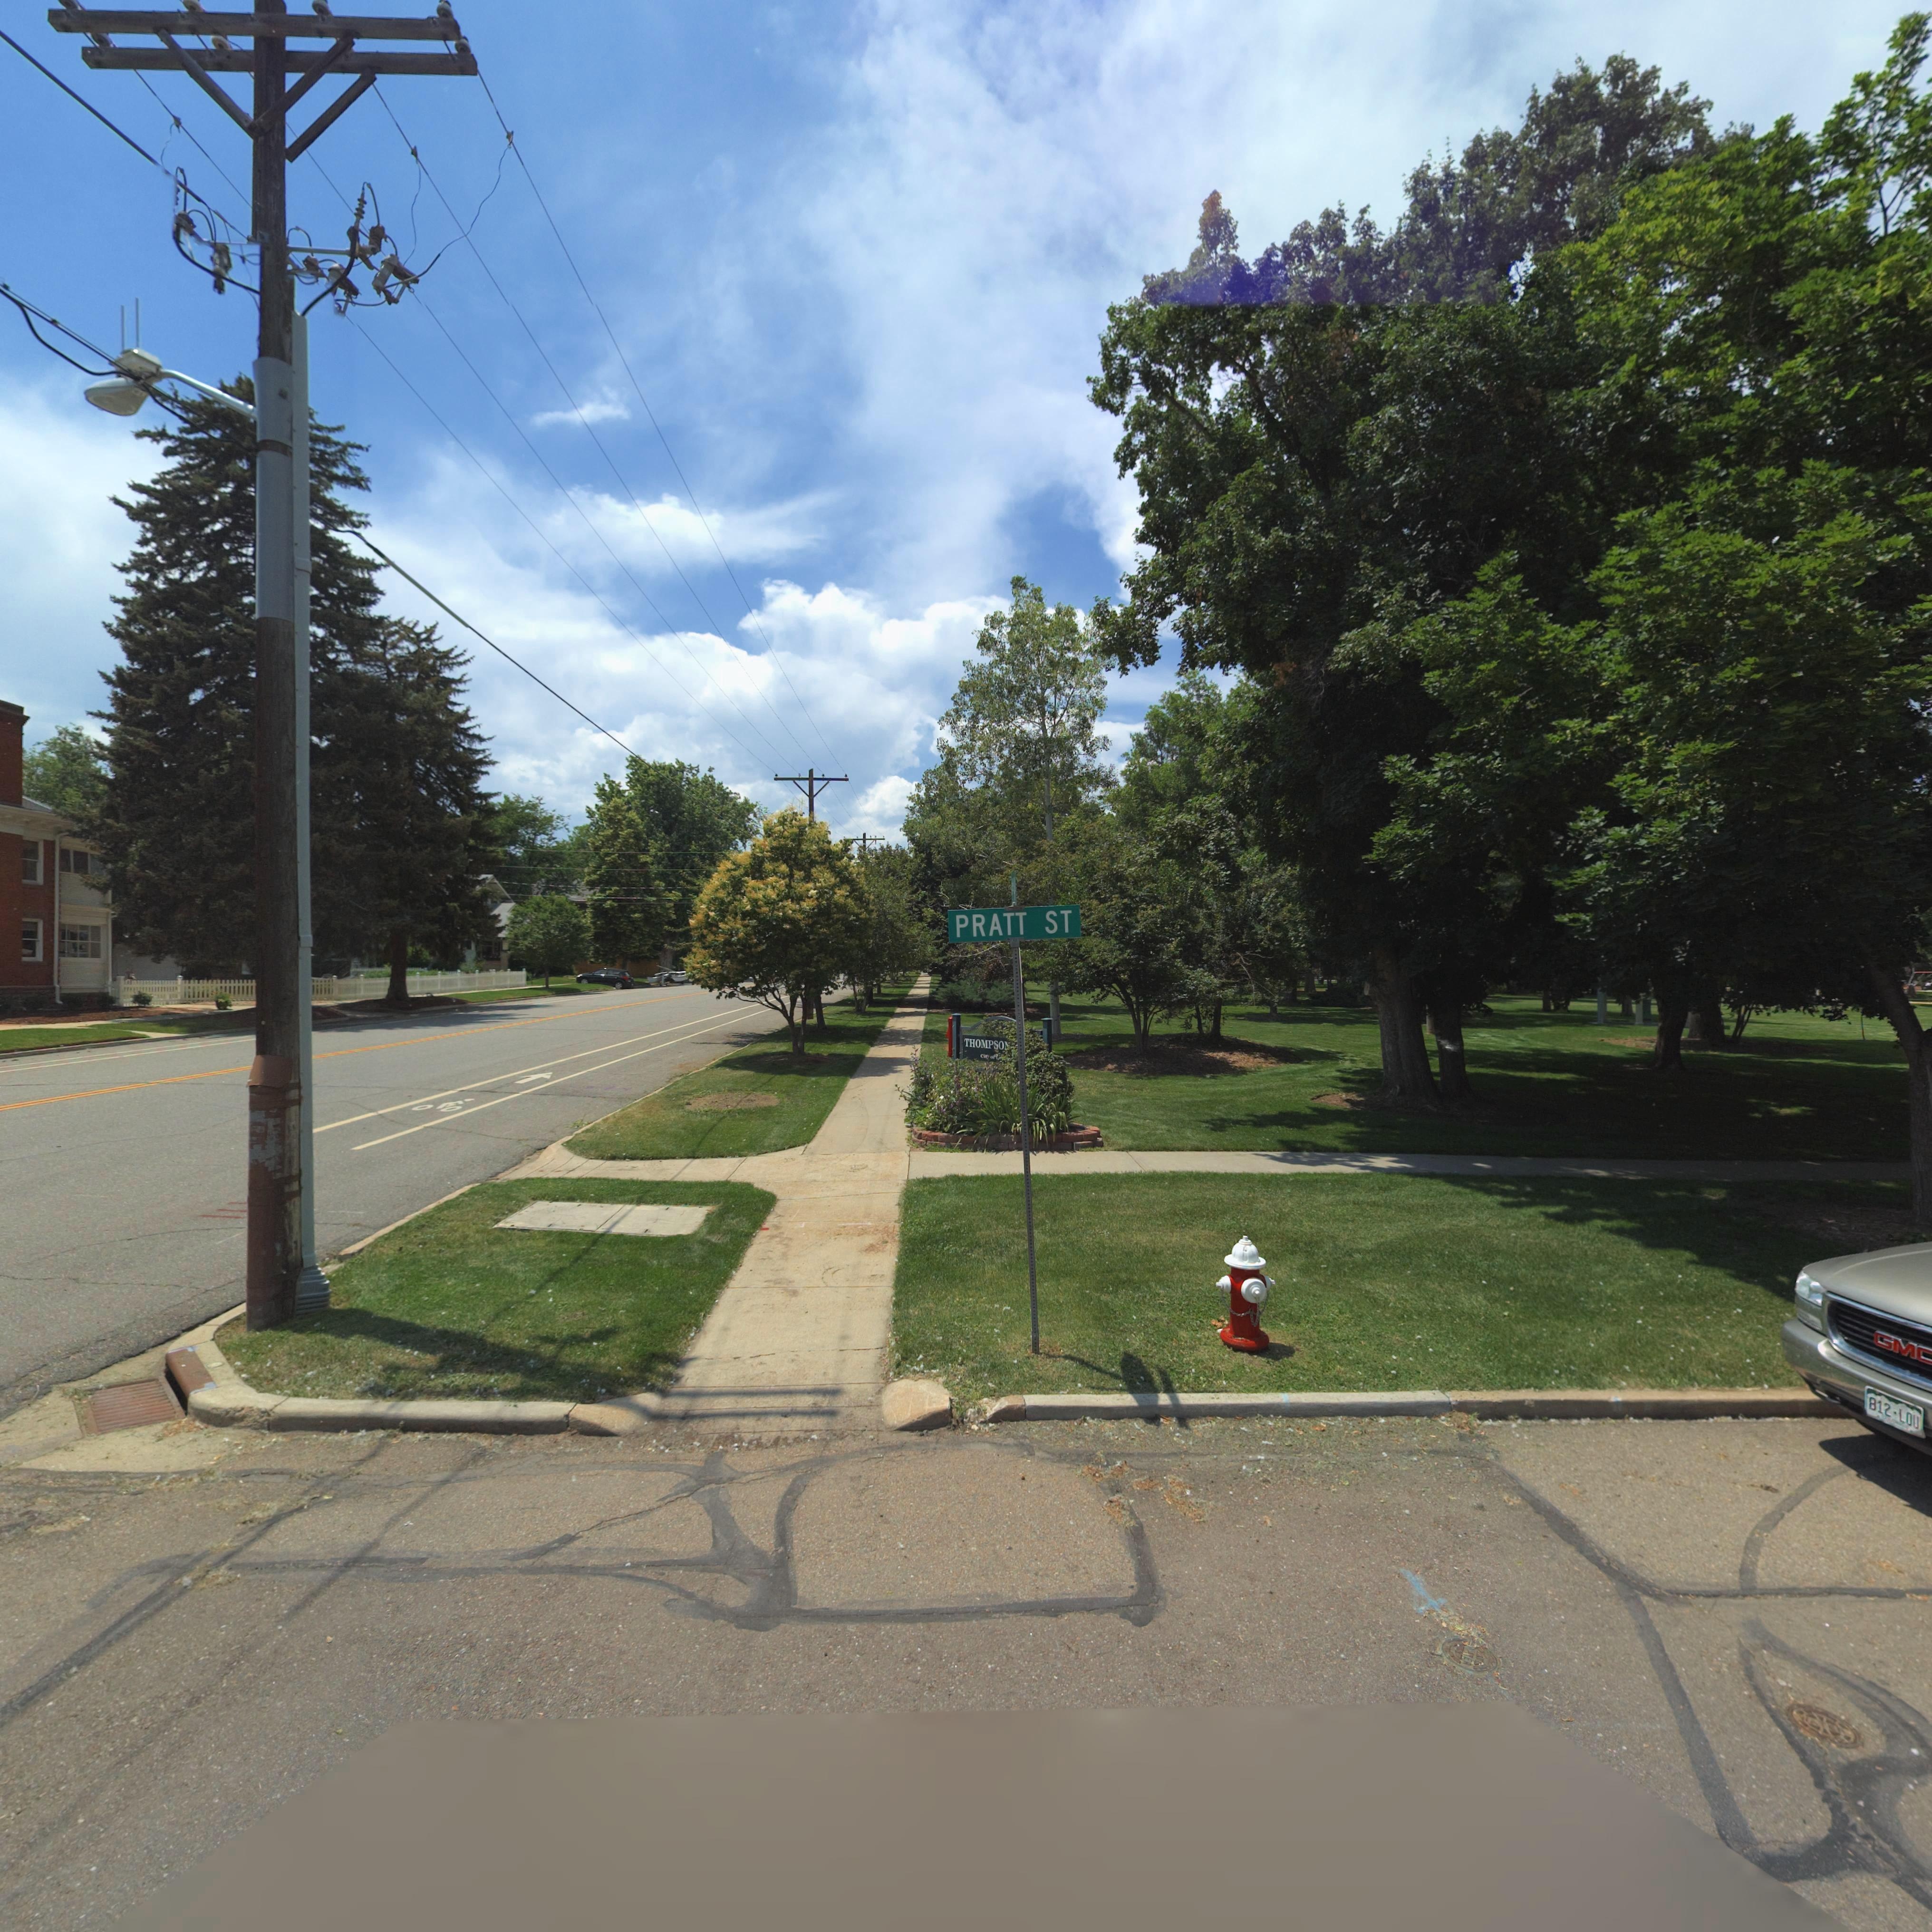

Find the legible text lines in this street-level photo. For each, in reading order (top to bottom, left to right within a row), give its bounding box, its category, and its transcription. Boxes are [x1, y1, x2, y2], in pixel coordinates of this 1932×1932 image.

[956, 909, 1072, 938] StreetName: PRATT ST